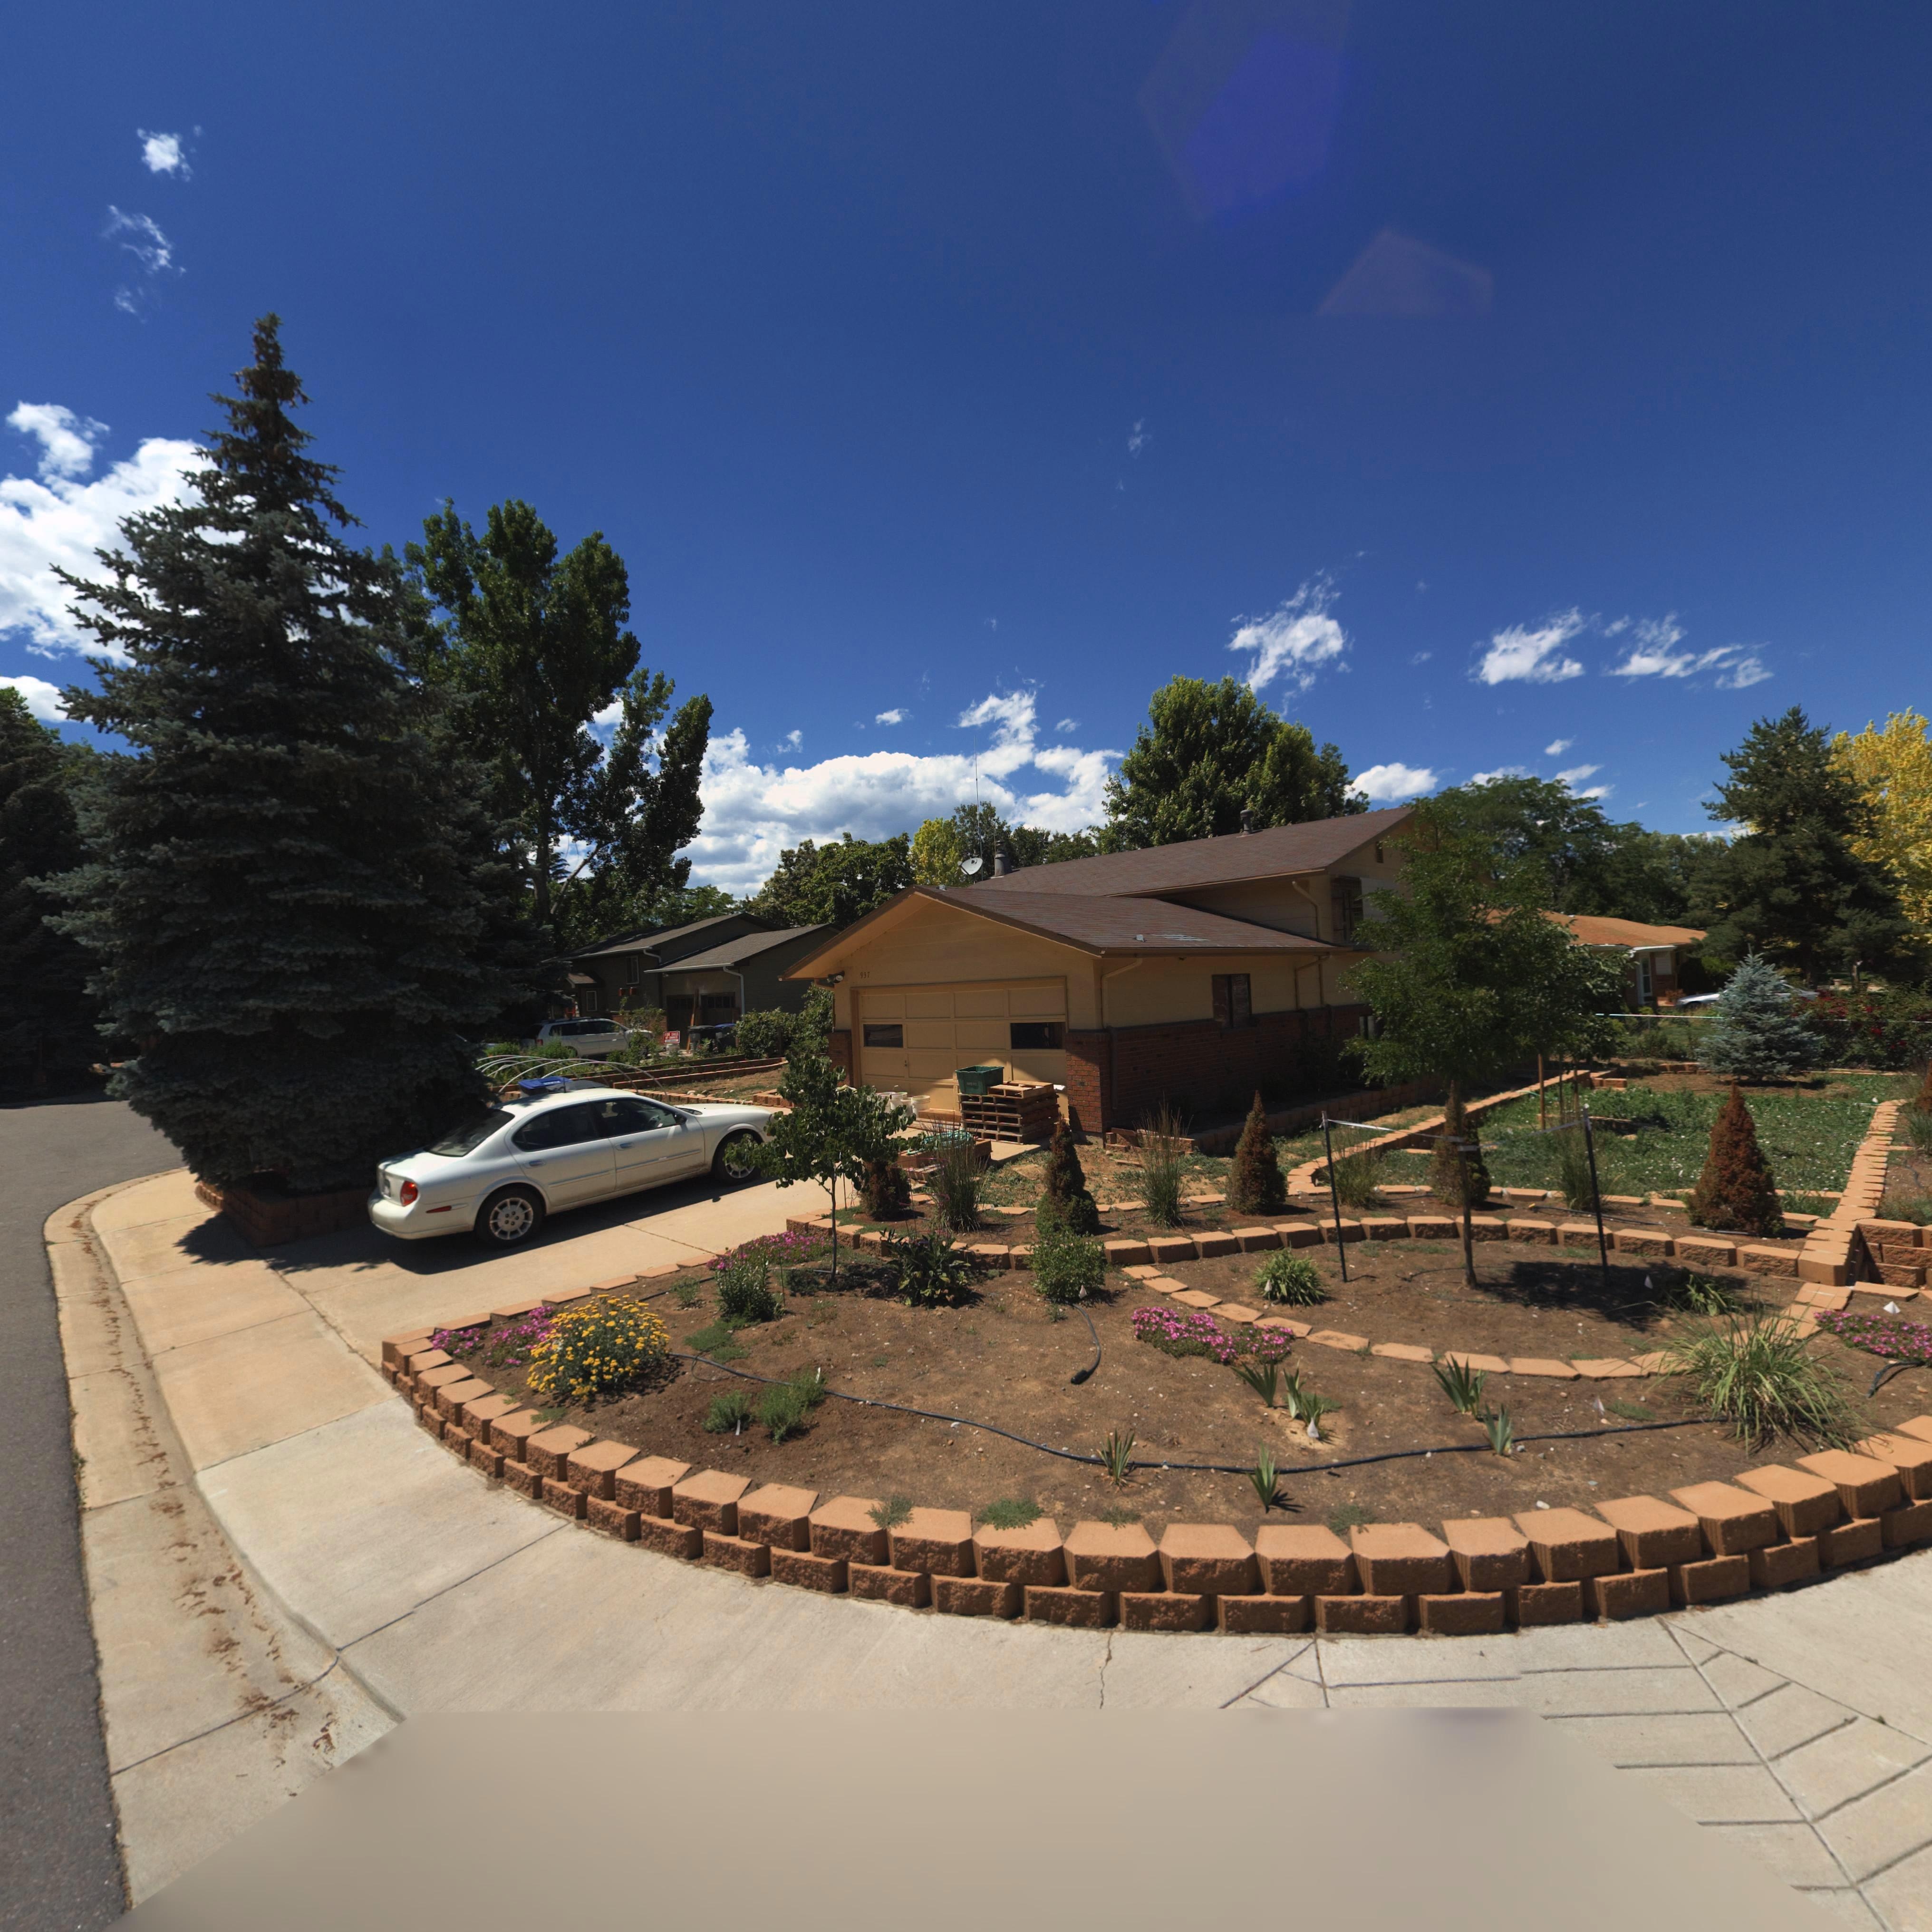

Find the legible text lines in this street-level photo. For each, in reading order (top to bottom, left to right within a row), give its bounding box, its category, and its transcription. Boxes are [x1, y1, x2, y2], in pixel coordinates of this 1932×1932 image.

[860, 971, 870, 979] StreetNumber: 937